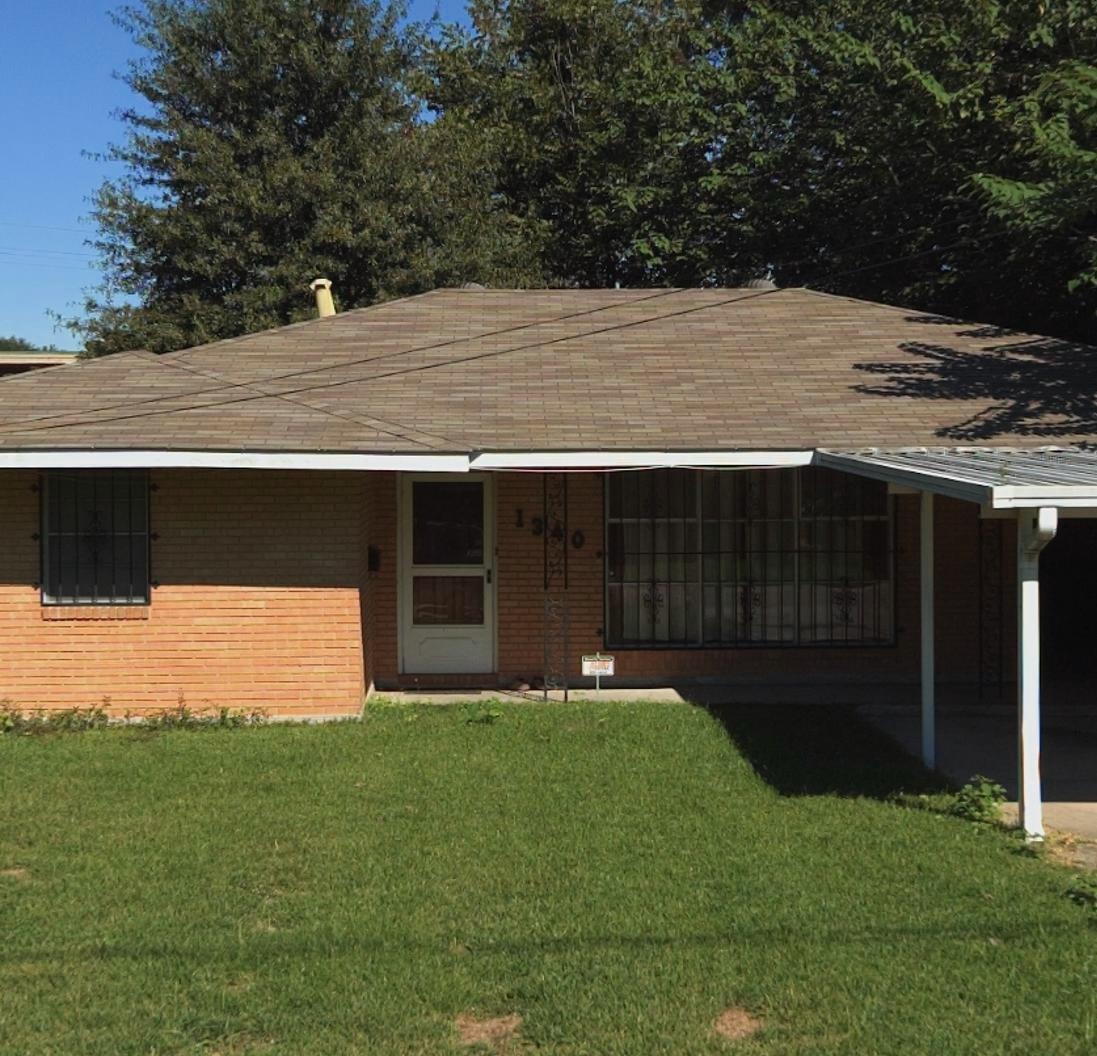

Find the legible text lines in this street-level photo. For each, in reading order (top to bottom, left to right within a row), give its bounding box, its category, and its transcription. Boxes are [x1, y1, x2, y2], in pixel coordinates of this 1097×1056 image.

[514, 507, 585, 550] StreetNumber: 1340